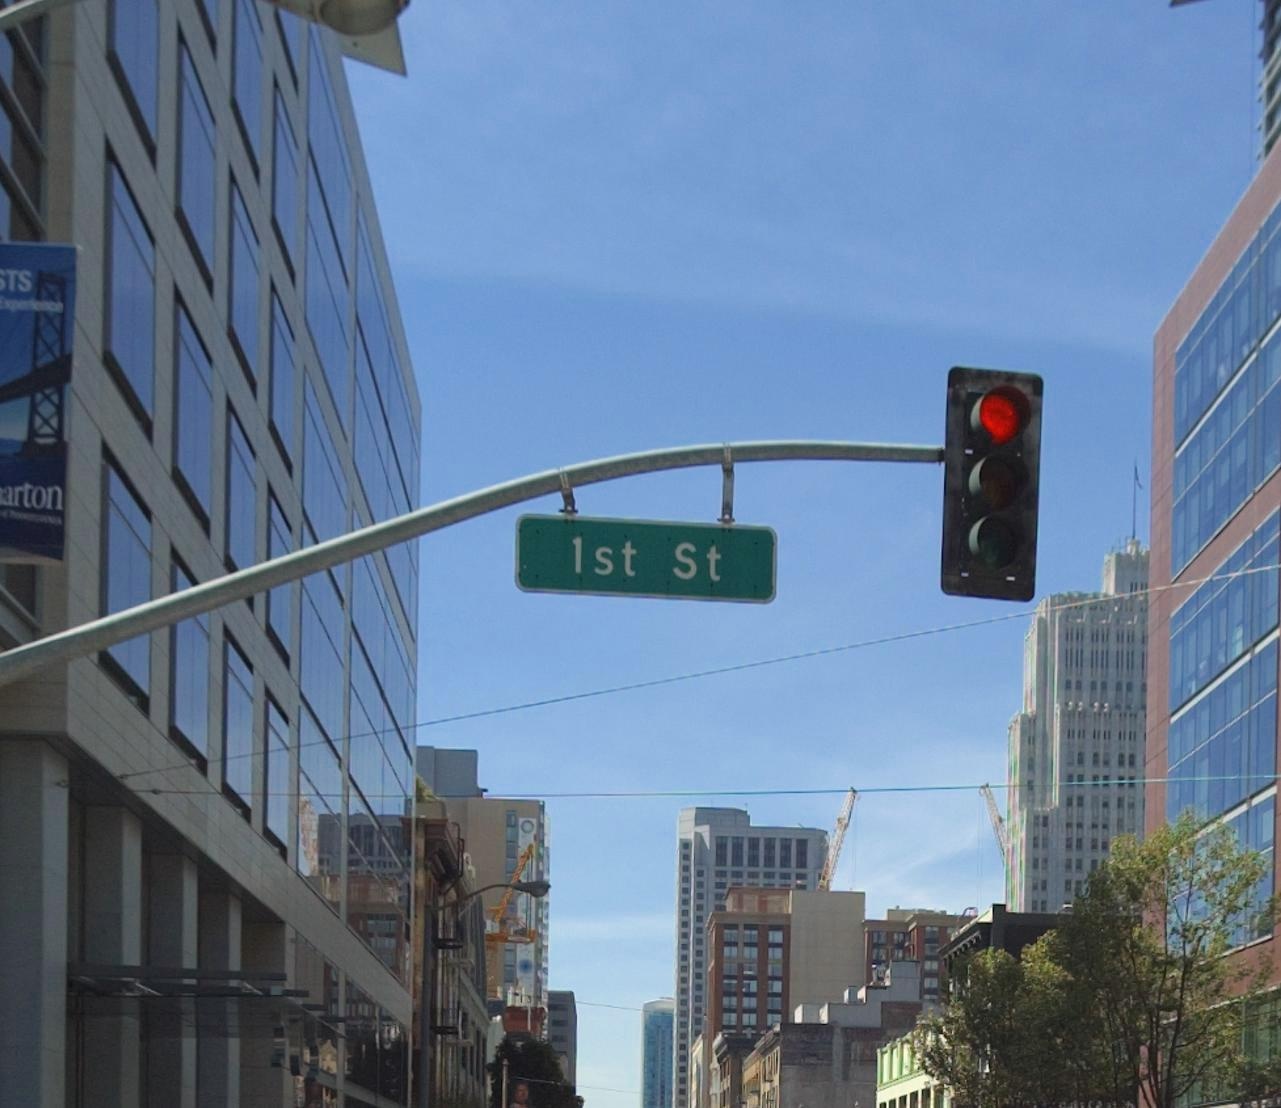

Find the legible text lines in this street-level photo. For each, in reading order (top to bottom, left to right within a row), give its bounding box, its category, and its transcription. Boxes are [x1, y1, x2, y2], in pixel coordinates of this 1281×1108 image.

[5, 268, 32, 294] None: TS
[12, 478, 64, 511] None: rton
[569, 533, 725, 583] StreetName: 1st St